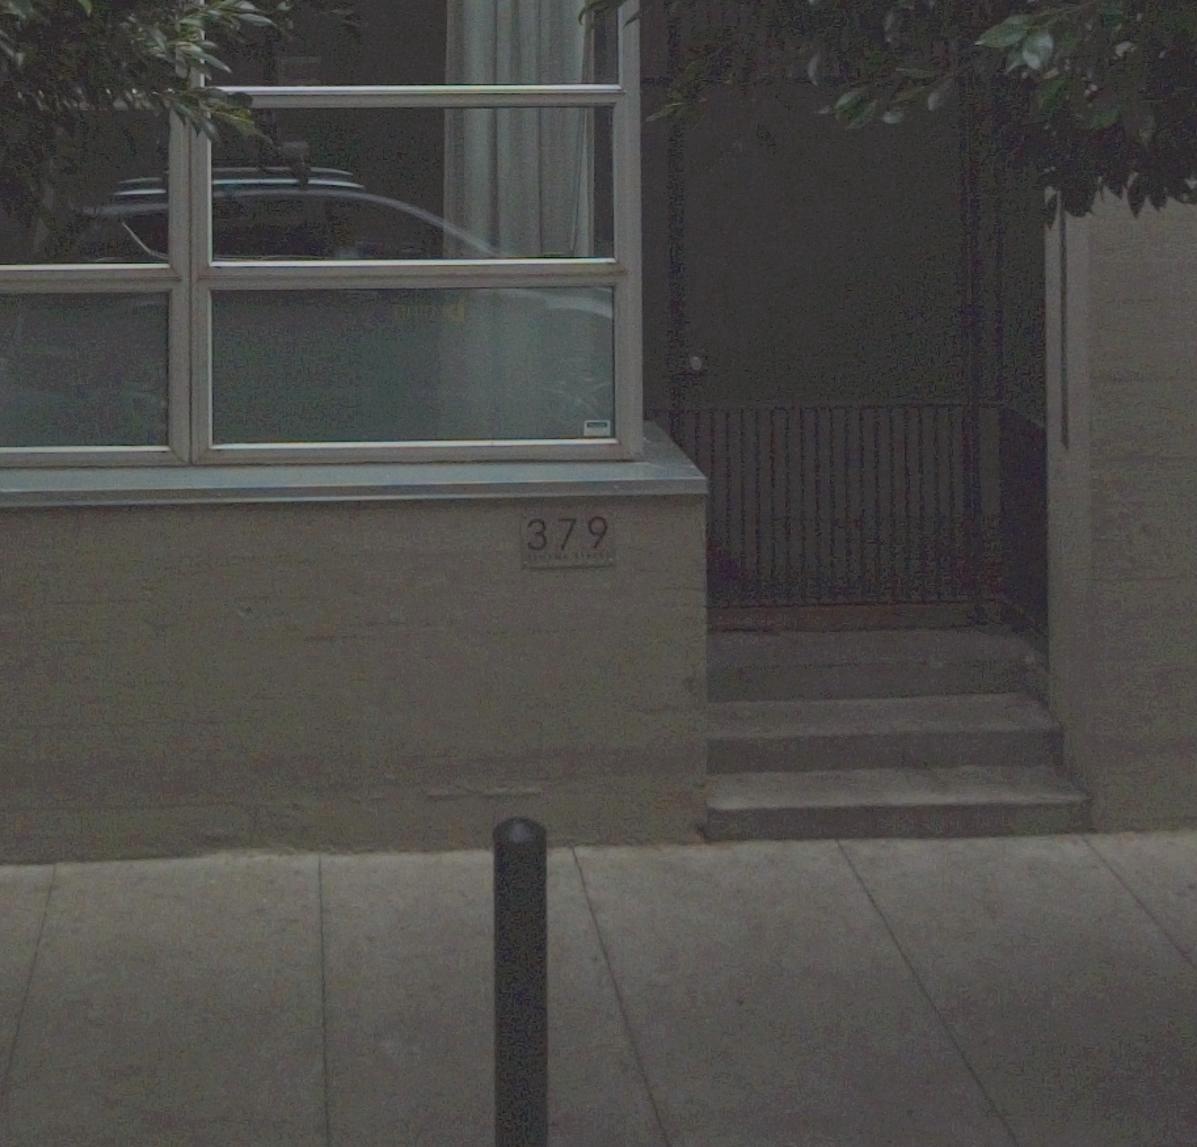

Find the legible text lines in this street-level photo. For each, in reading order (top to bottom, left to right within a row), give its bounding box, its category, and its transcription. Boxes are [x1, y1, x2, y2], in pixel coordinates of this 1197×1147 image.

[524, 513, 612, 554] StreetNumber: 379